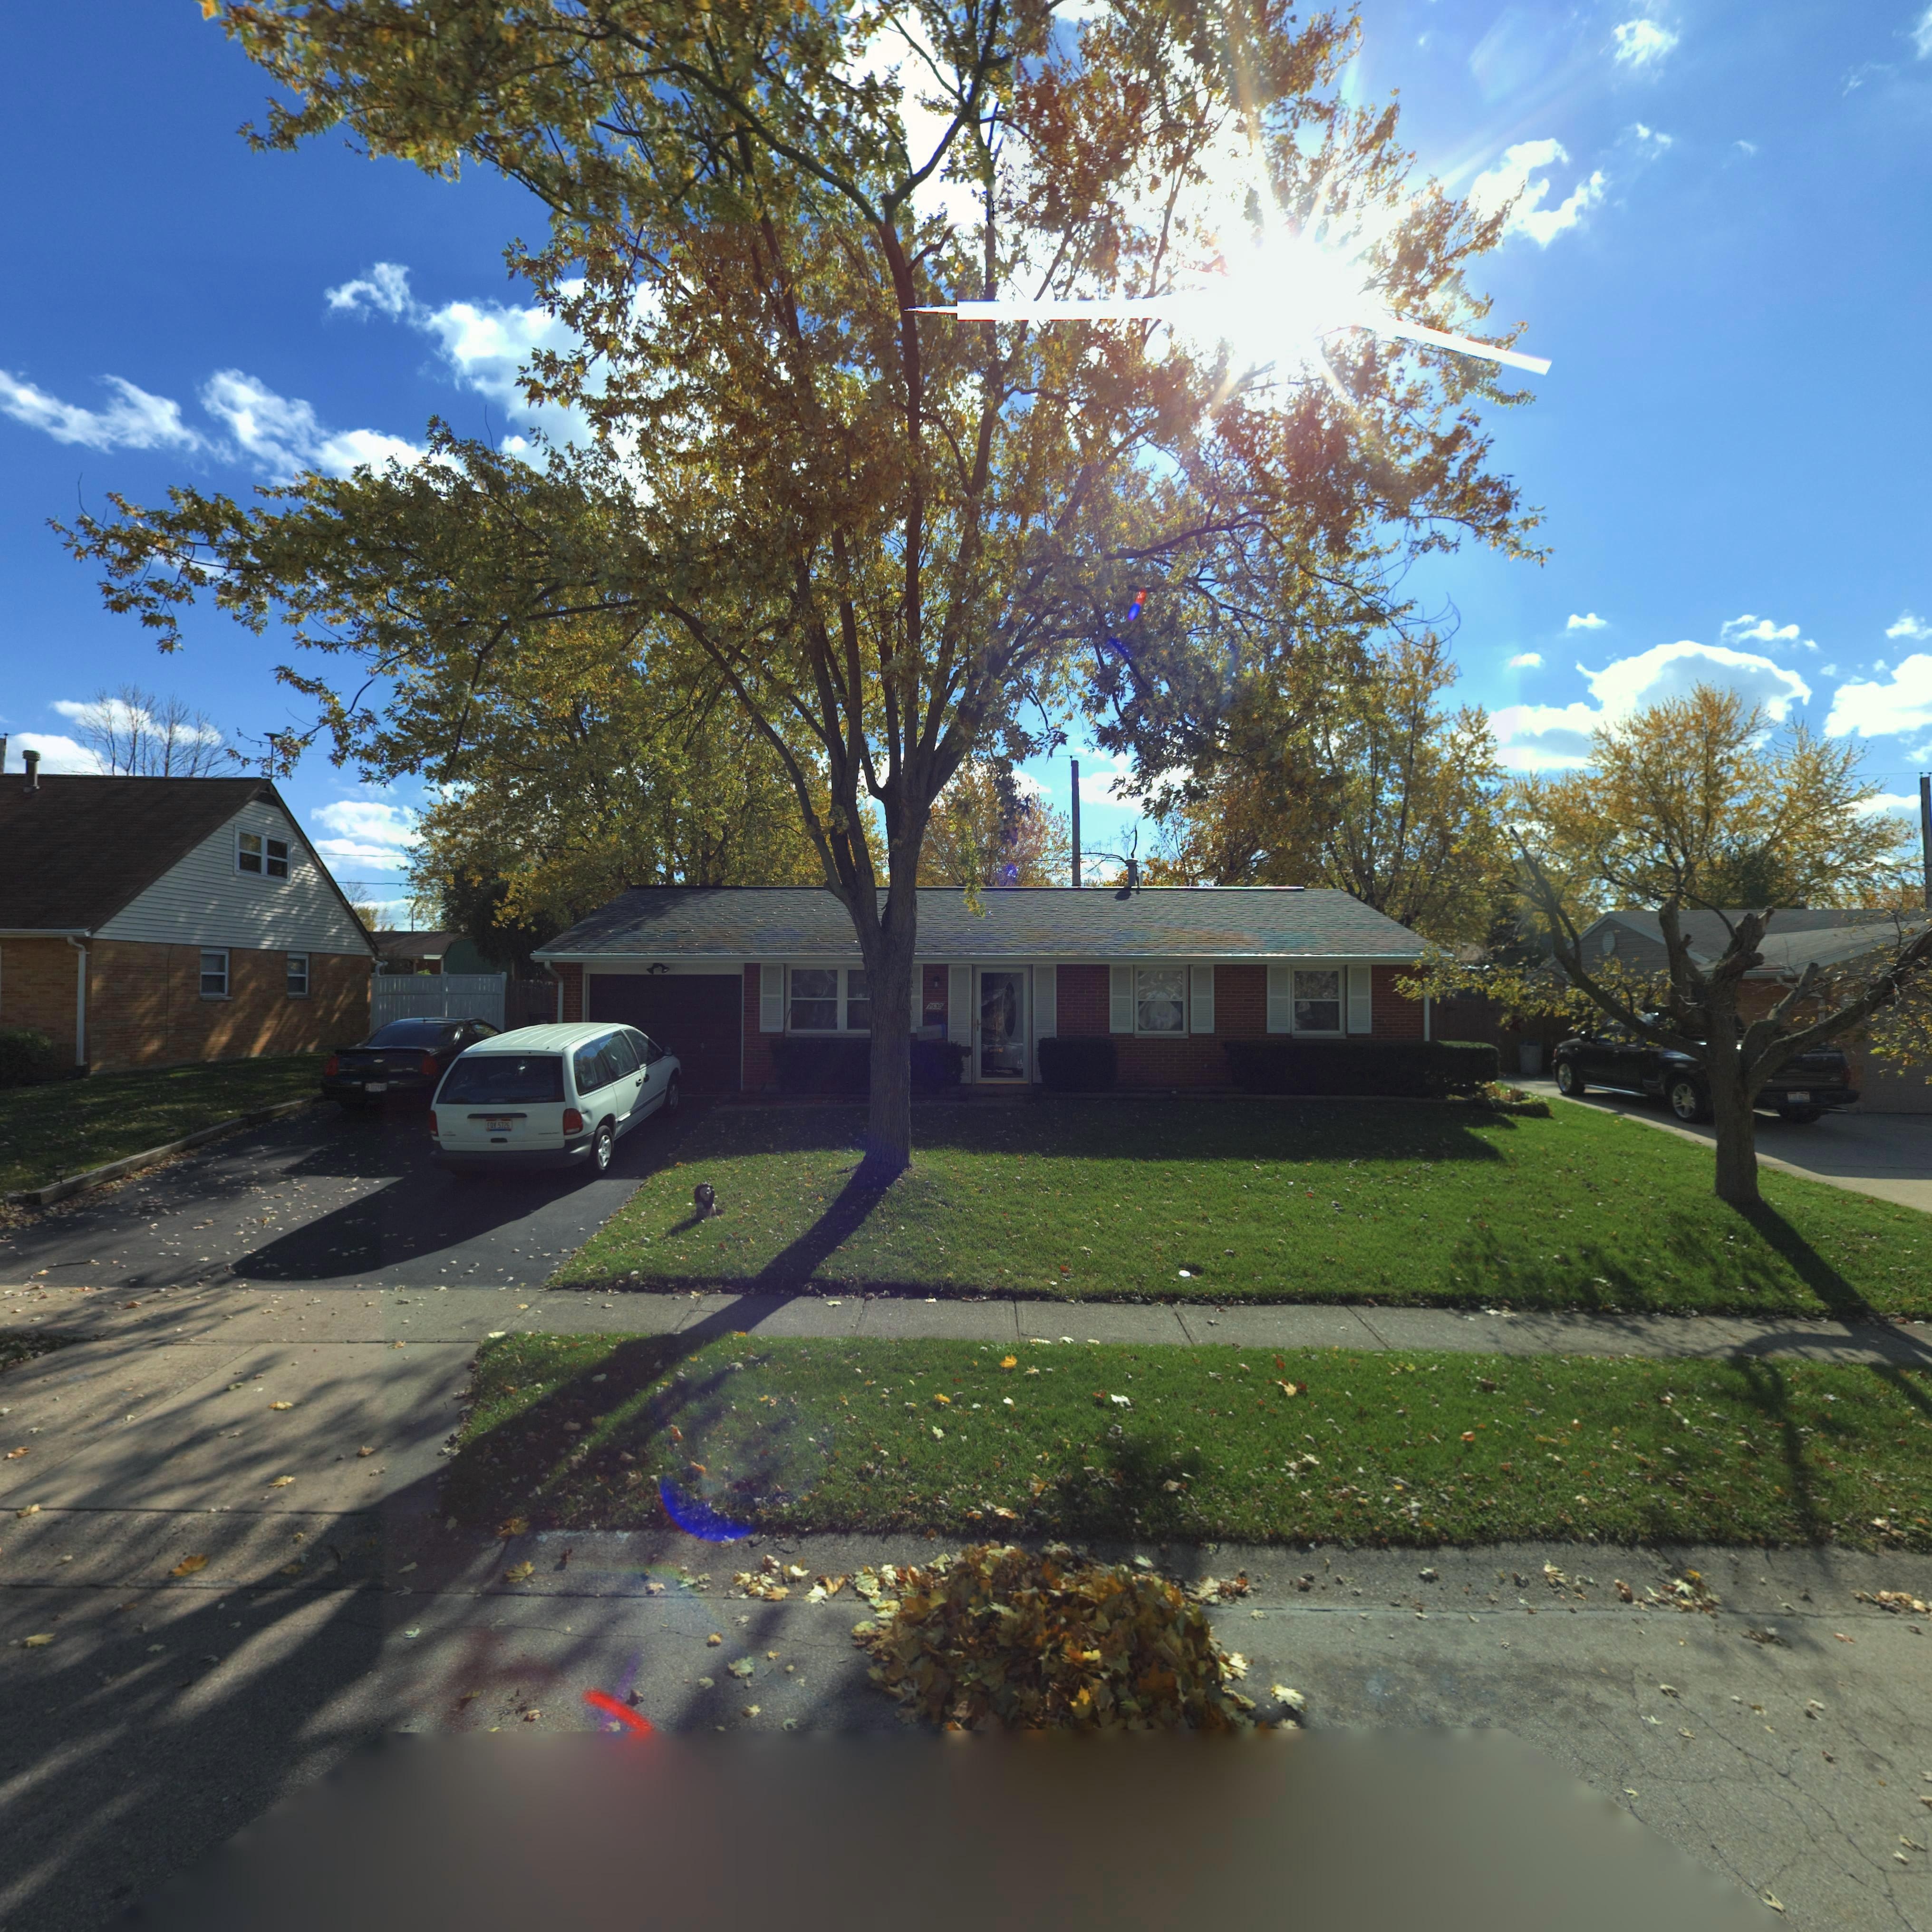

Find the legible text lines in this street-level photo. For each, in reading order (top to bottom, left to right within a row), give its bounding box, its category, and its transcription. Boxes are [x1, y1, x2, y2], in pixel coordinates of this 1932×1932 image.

[927, 1003, 943, 1009] StreetNumber: 7630